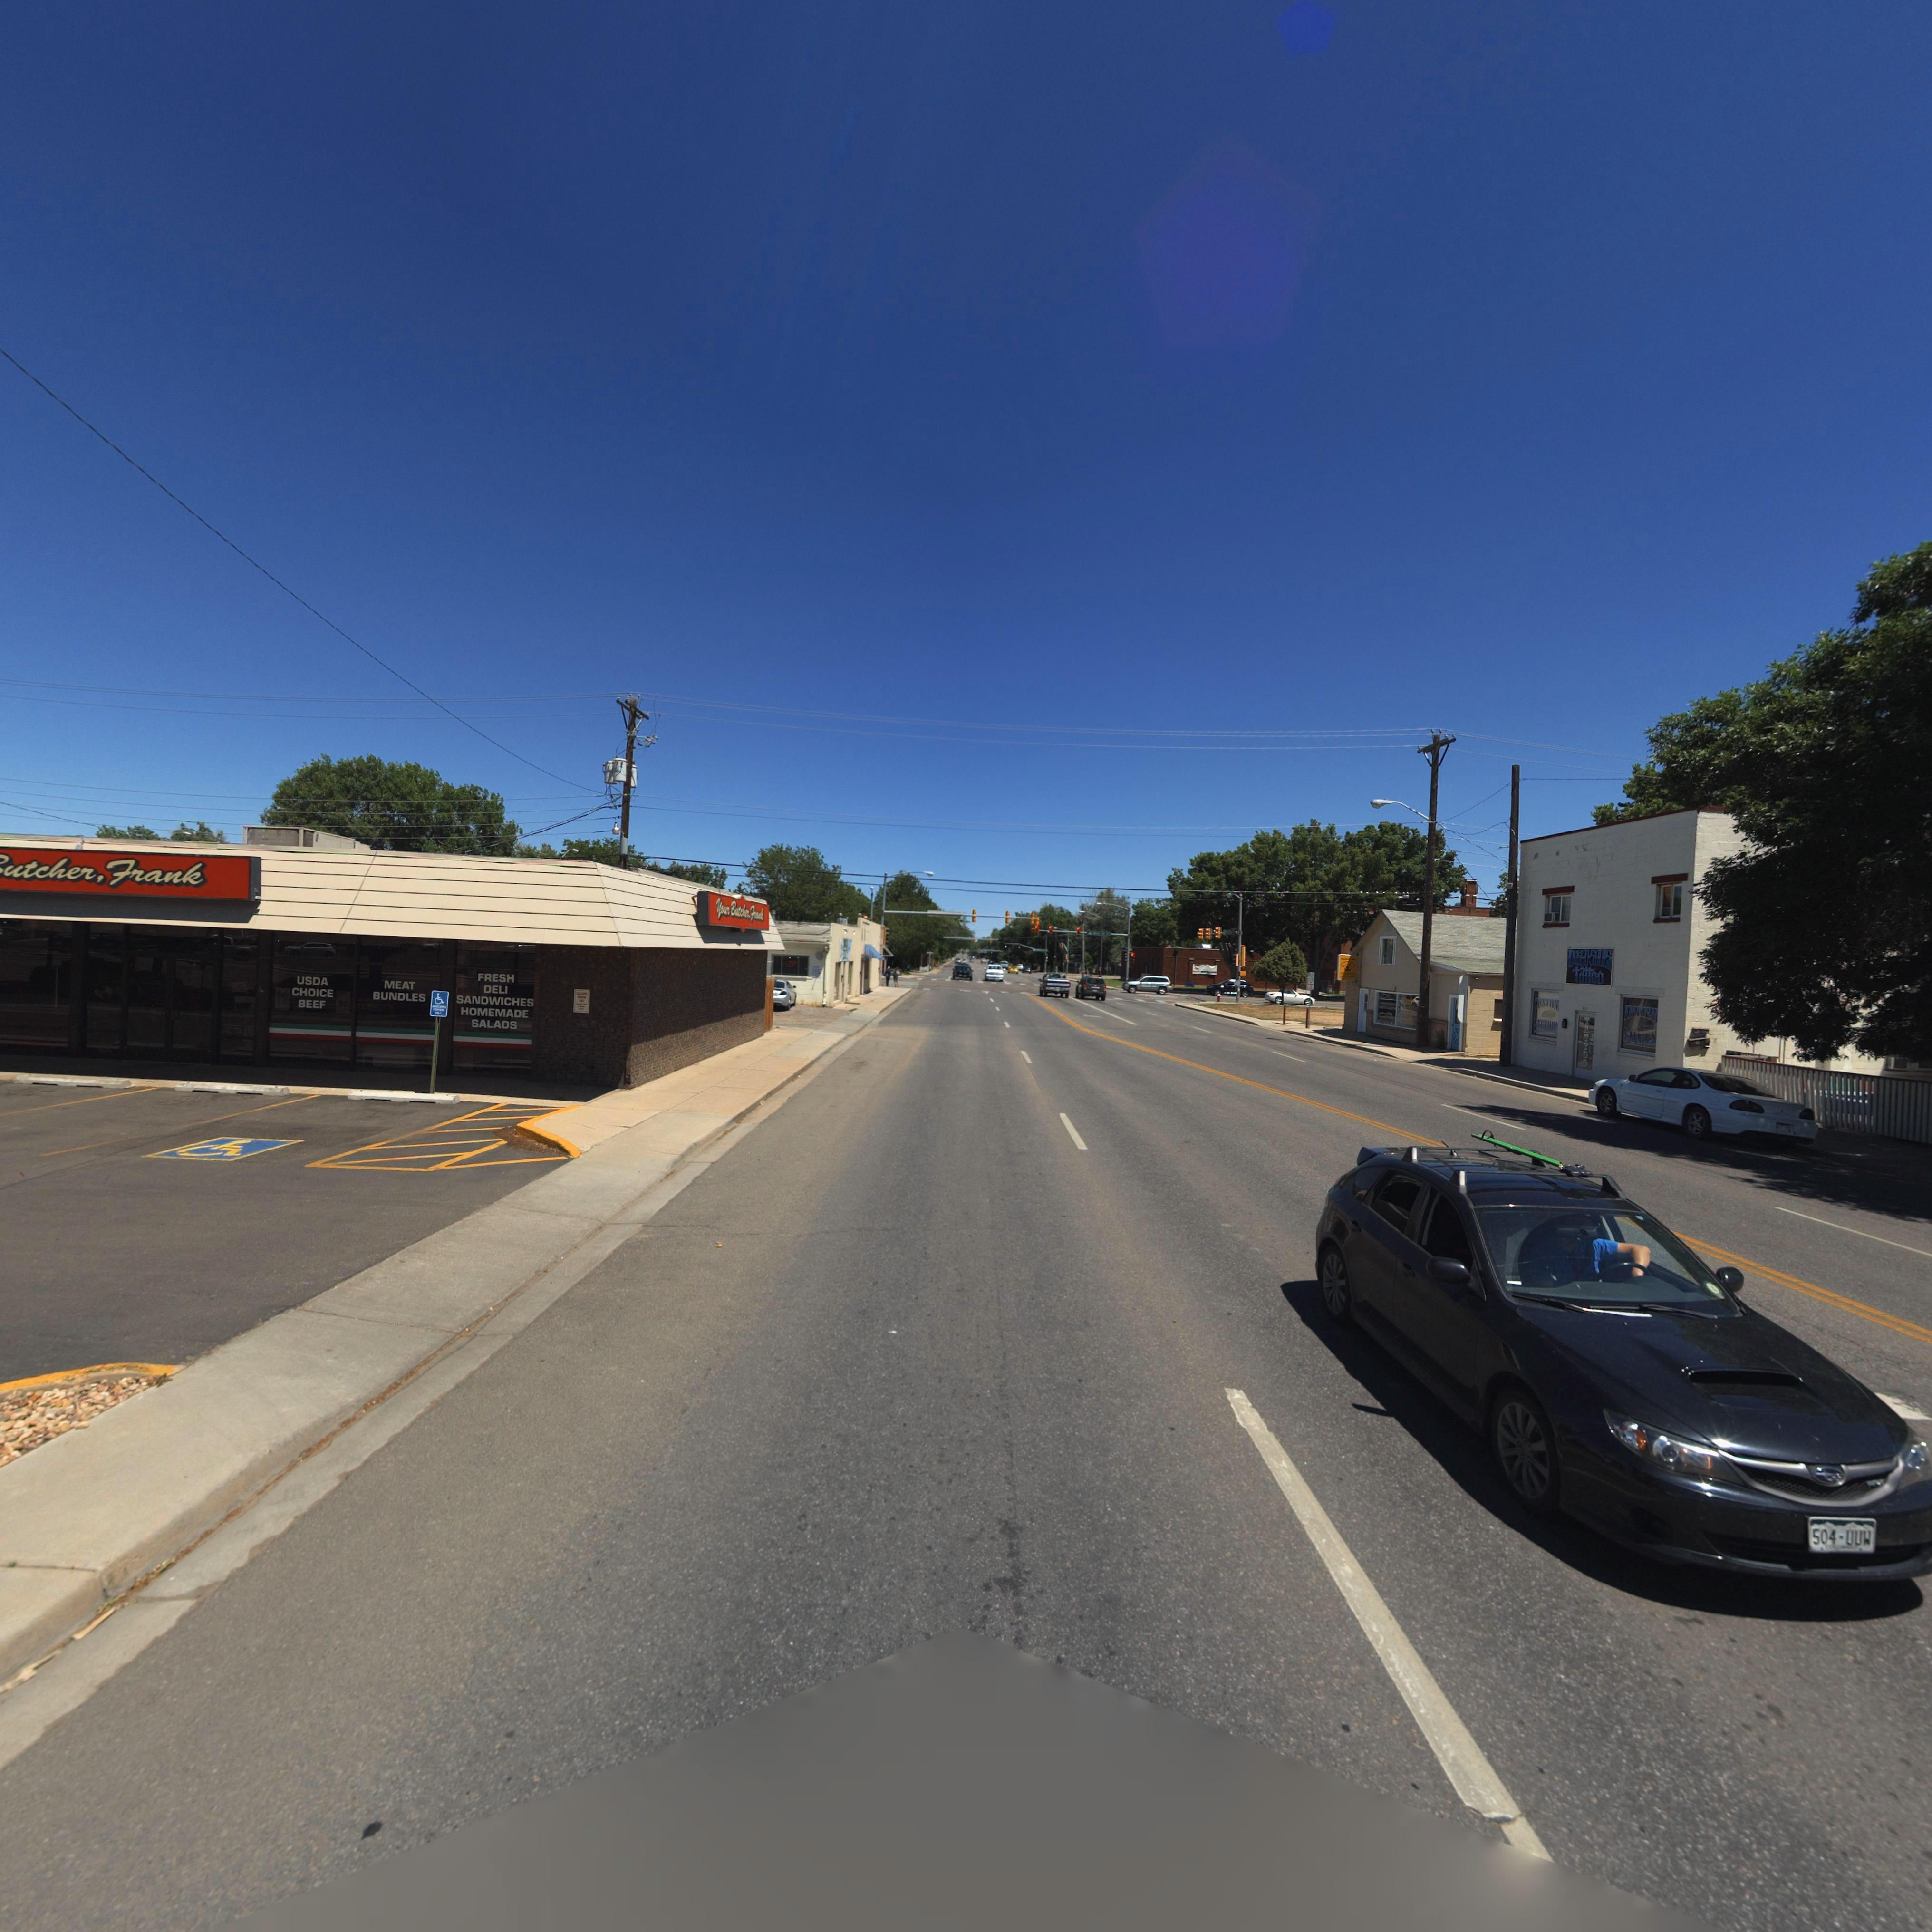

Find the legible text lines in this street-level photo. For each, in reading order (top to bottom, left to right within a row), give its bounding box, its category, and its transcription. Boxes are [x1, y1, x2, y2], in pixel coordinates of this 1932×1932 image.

[3, 856, 204, 888] BusinessName: utche*, **ank
[715, 896, 764, 923] BusinessName: **u* Butche*, ****k
[1092, 931, 1106, 935] StreetName: M*** S*
[1567, 949, 1613, 972] BusinessName: INKEDSOULS
[1571, 966, 1604, 984] BusinessName: tattoo
[1582, 1006, 1588, 1011] StreetNumber: 6**
[1623, 1005, 1657, 1023] BusinessName: INKED
[1622, 1025, 1656, 1046] BusinessName: SOULS